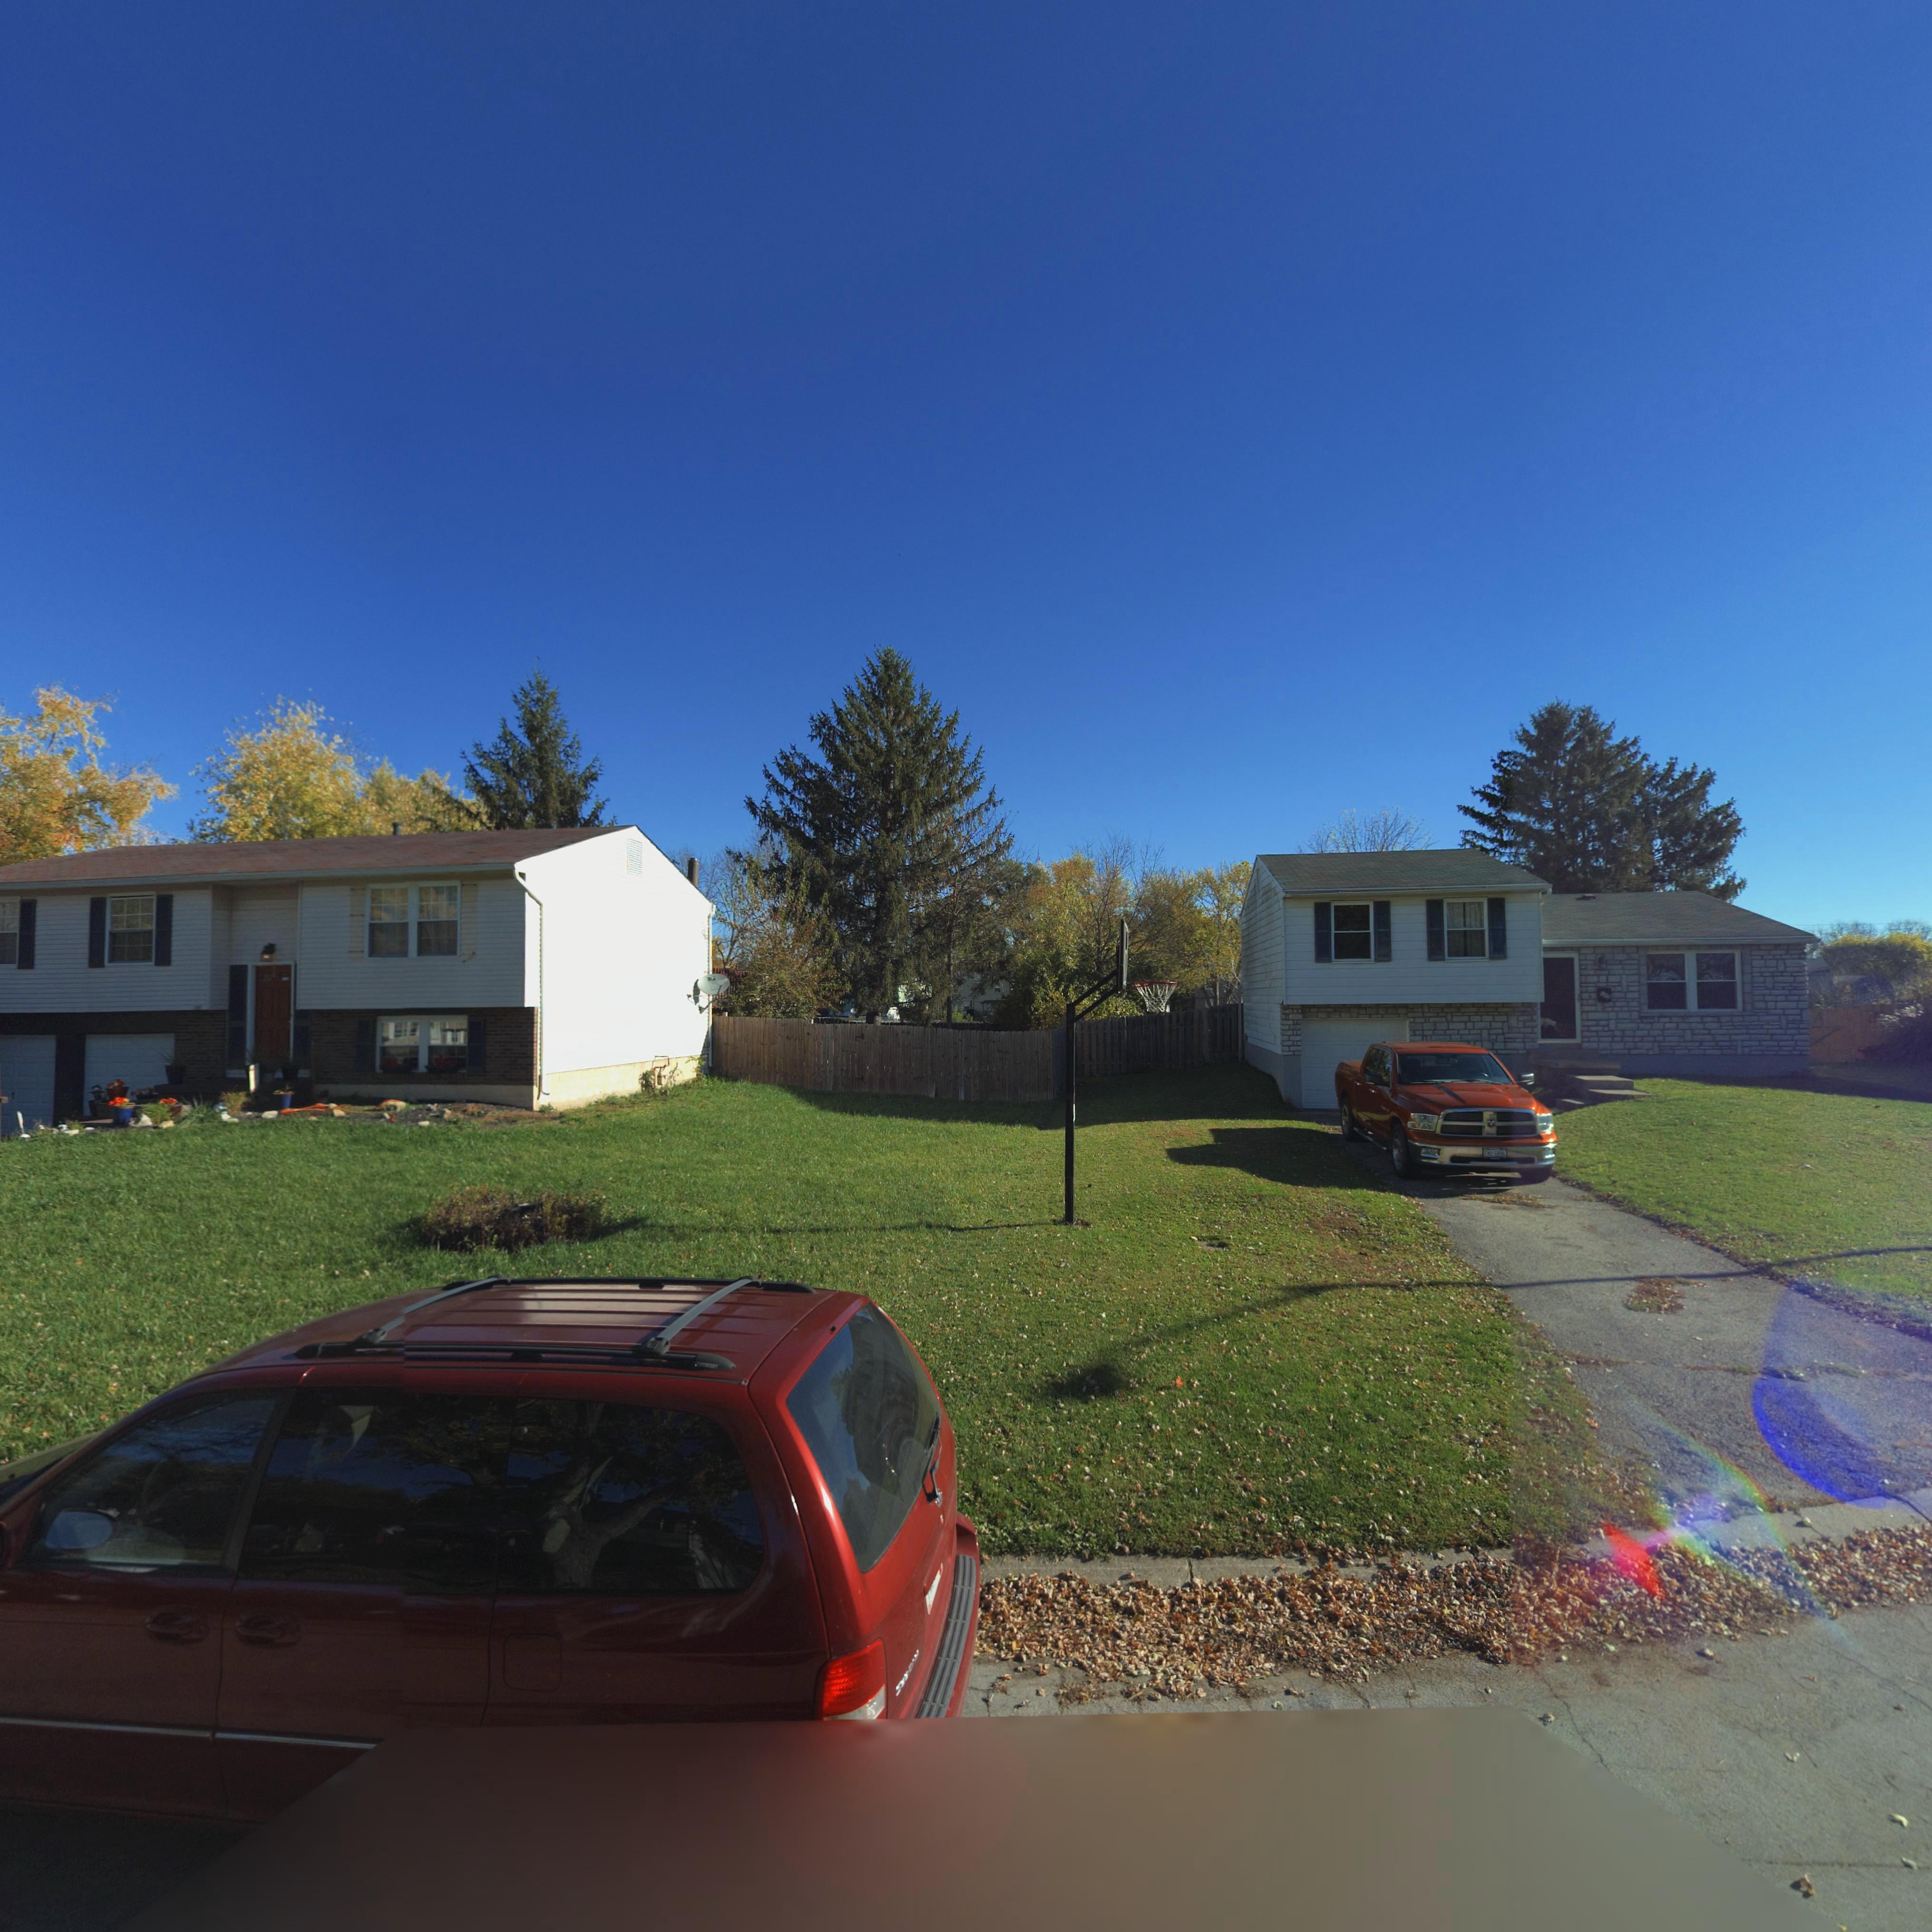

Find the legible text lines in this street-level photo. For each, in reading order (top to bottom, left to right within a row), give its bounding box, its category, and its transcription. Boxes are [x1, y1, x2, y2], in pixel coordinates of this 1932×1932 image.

[1601, 991, 1605, 996] StreetNumber: 1